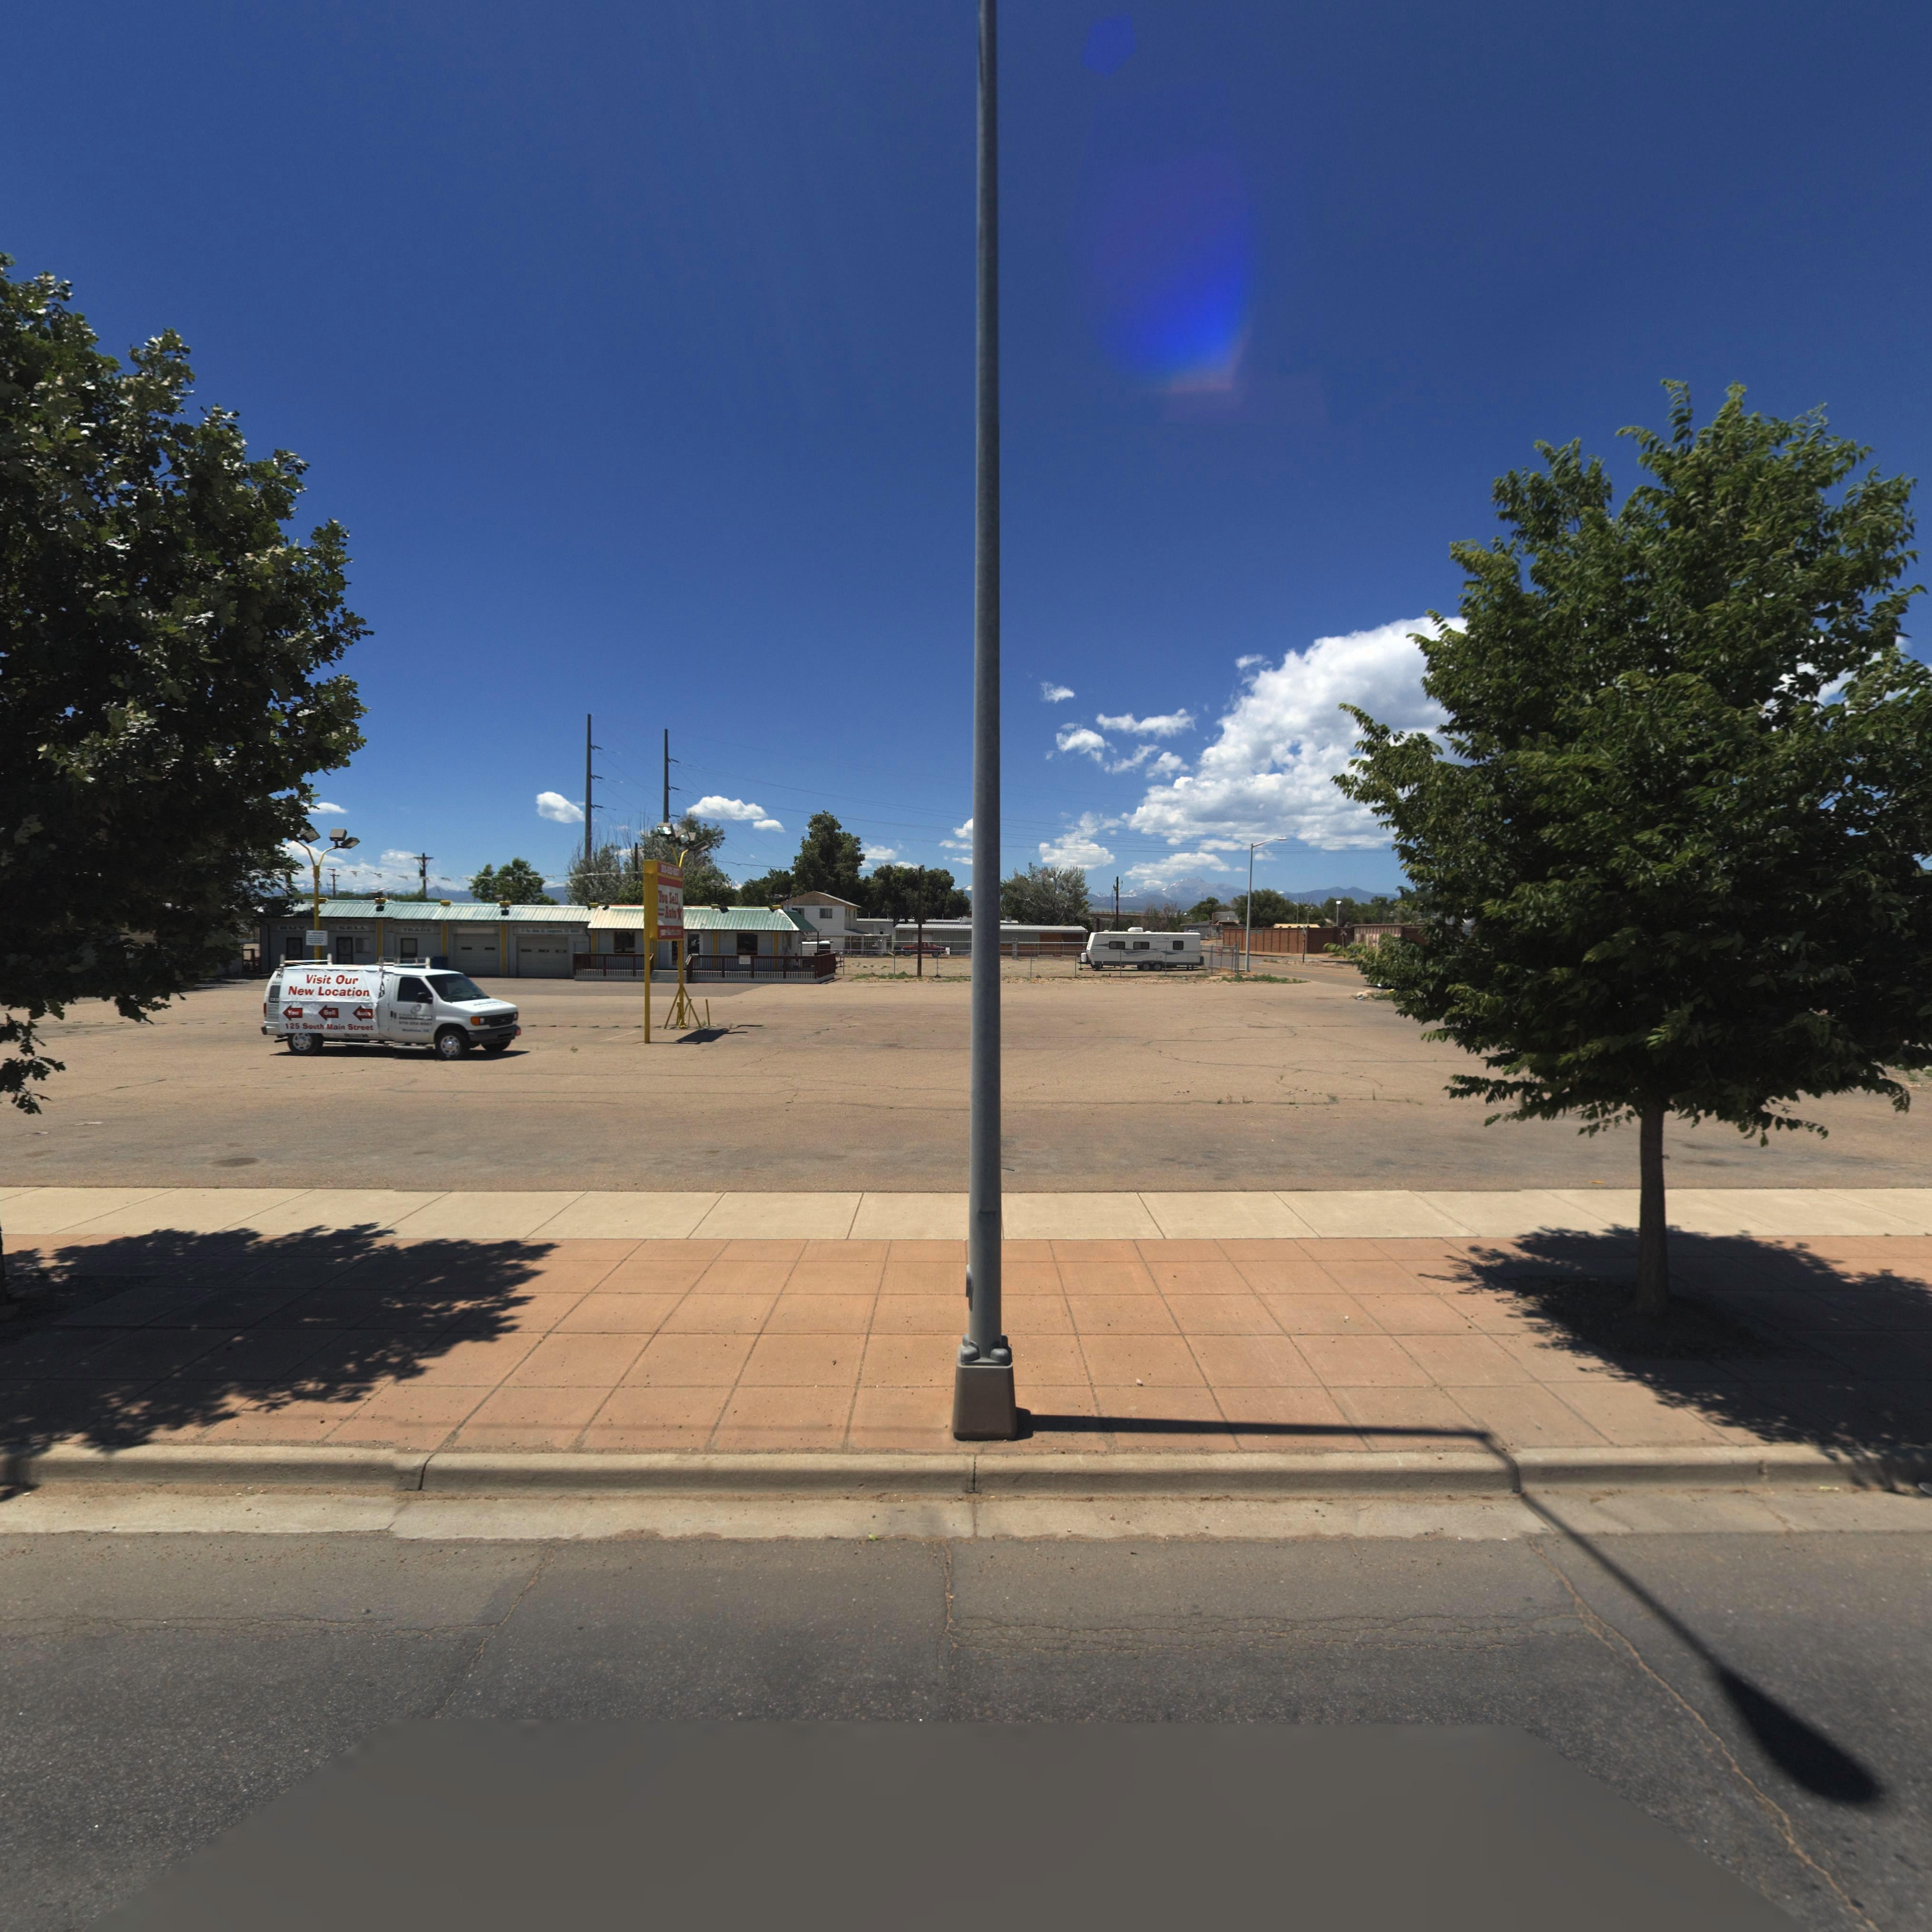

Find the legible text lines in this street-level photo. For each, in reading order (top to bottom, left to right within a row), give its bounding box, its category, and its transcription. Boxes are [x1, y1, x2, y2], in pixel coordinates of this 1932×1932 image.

[657, 889, 680, 905] BusinessName: You Sell
[663, 904, 677, 919] BusinessName: Auto